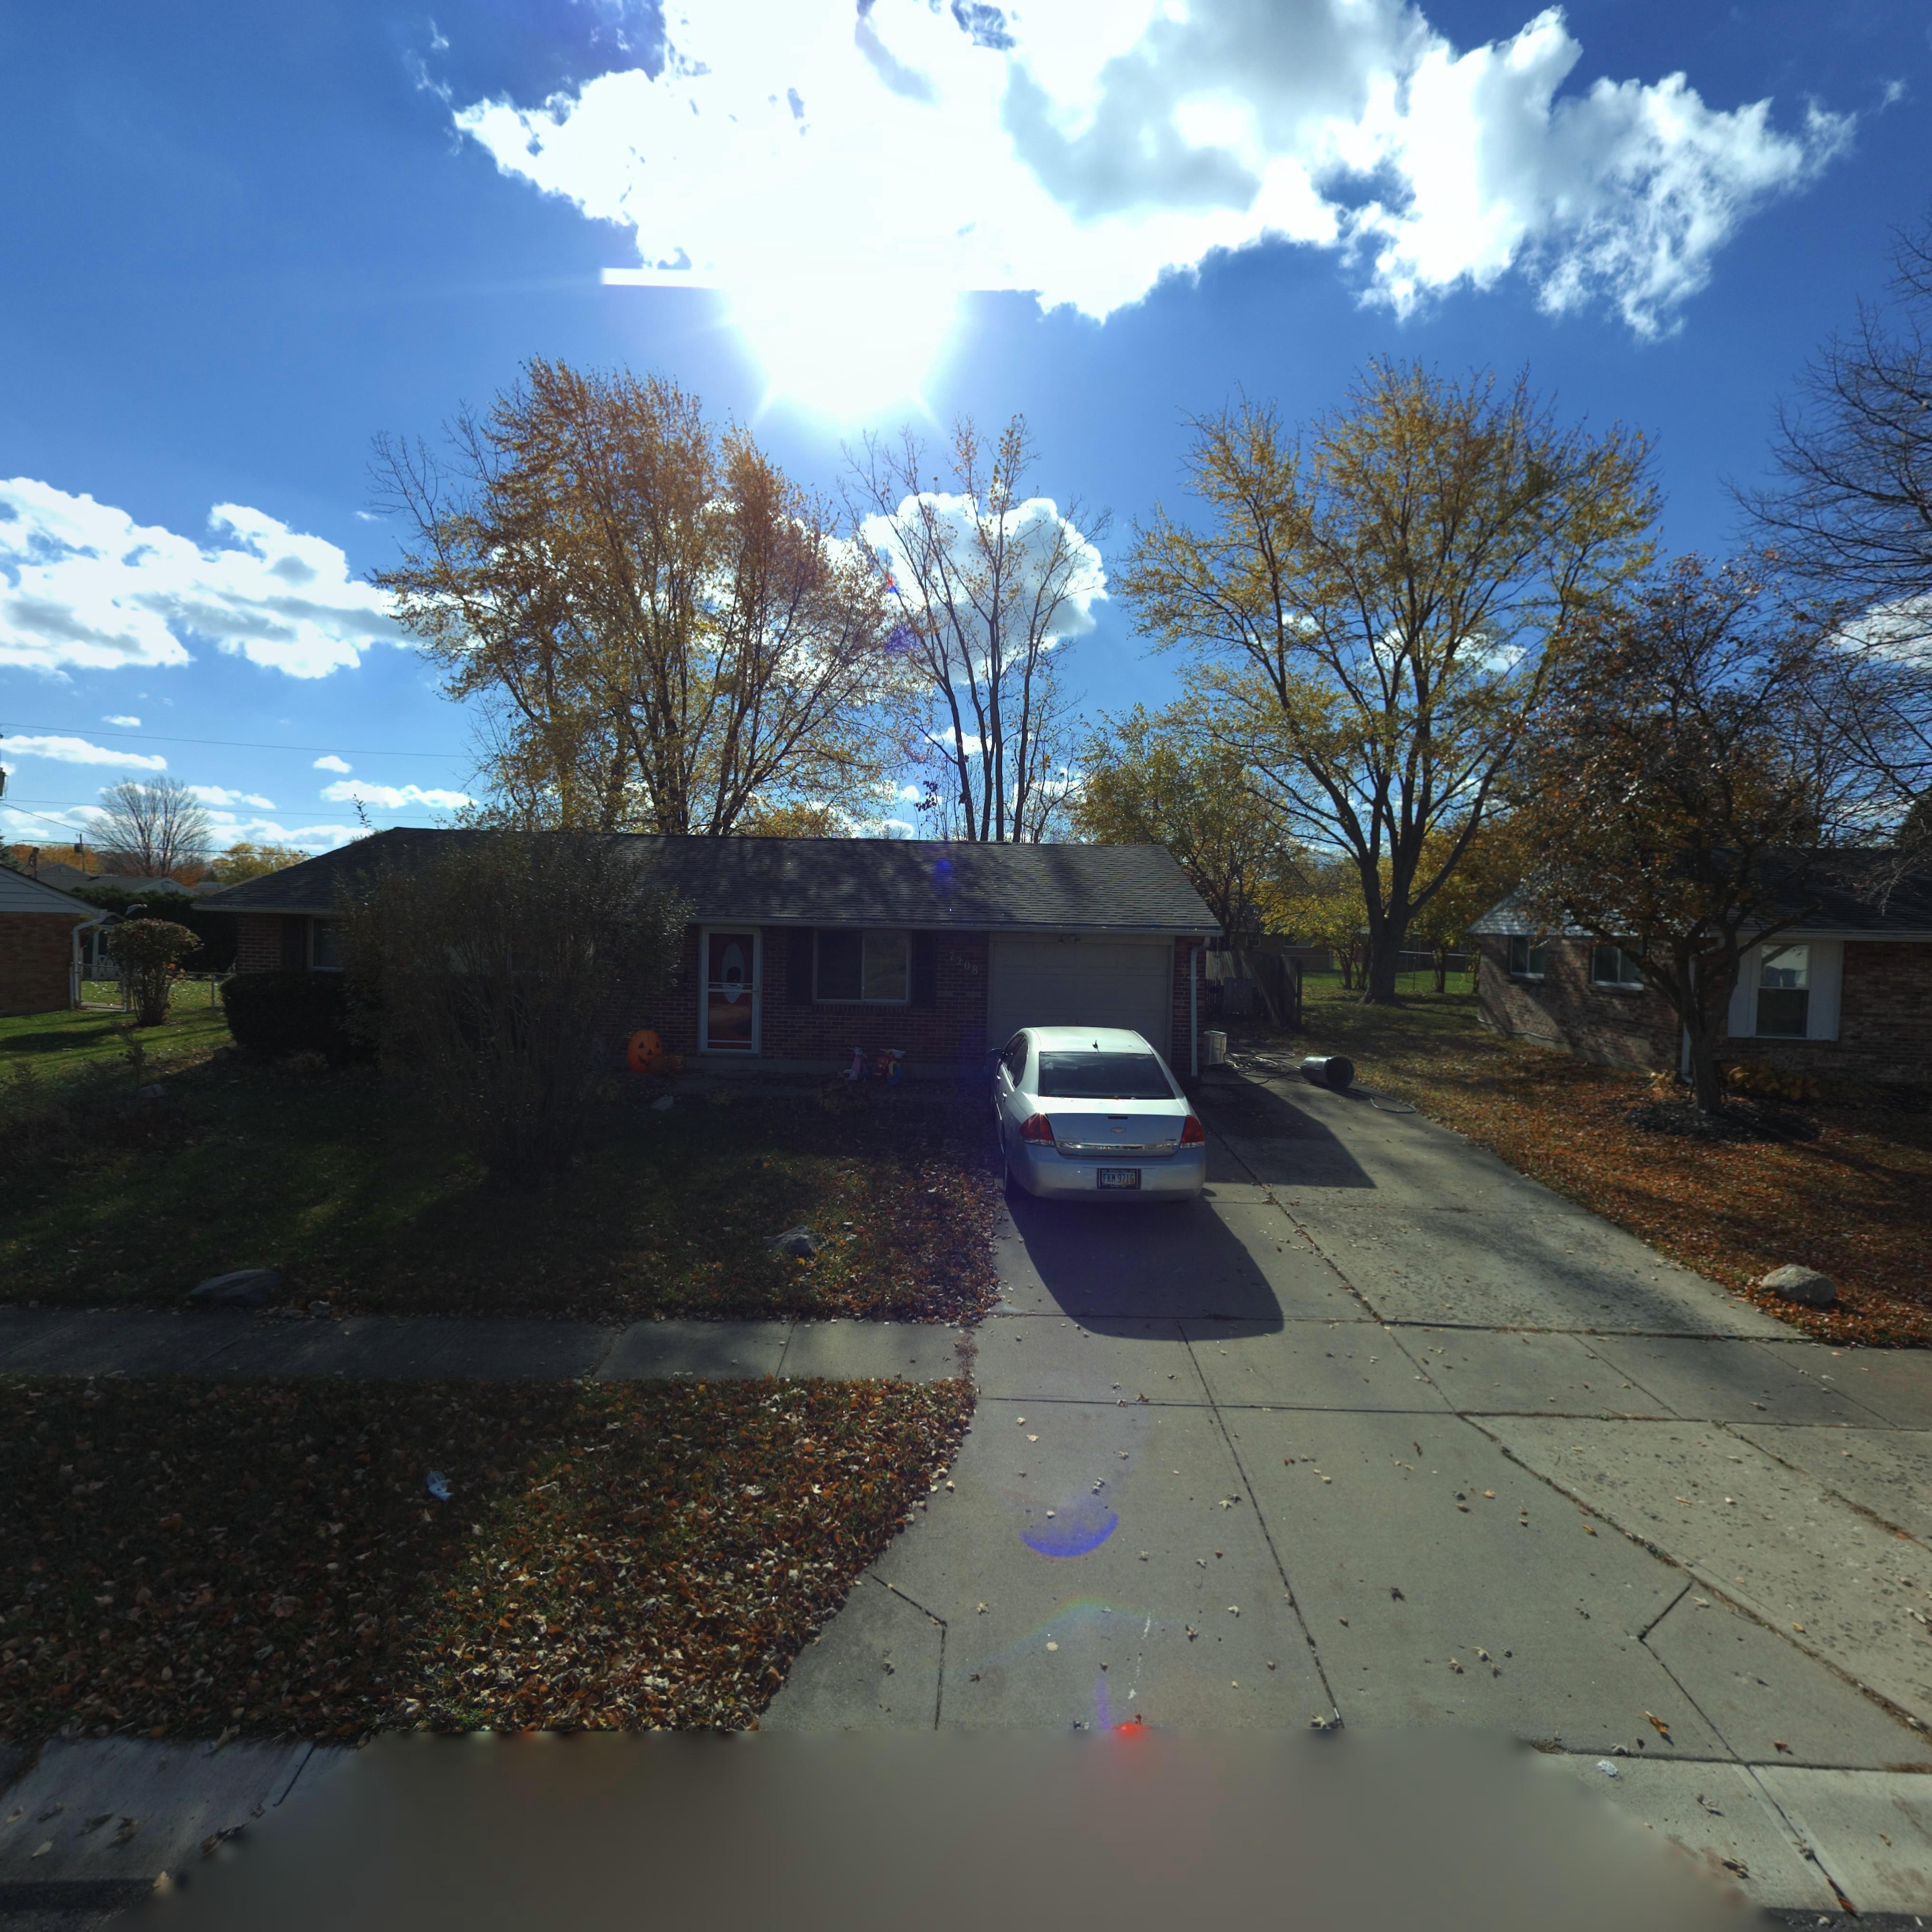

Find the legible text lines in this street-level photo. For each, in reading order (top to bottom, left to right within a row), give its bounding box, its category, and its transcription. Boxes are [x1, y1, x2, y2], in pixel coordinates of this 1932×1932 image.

[948, 951, 979, 976] StreetNumber: 7208